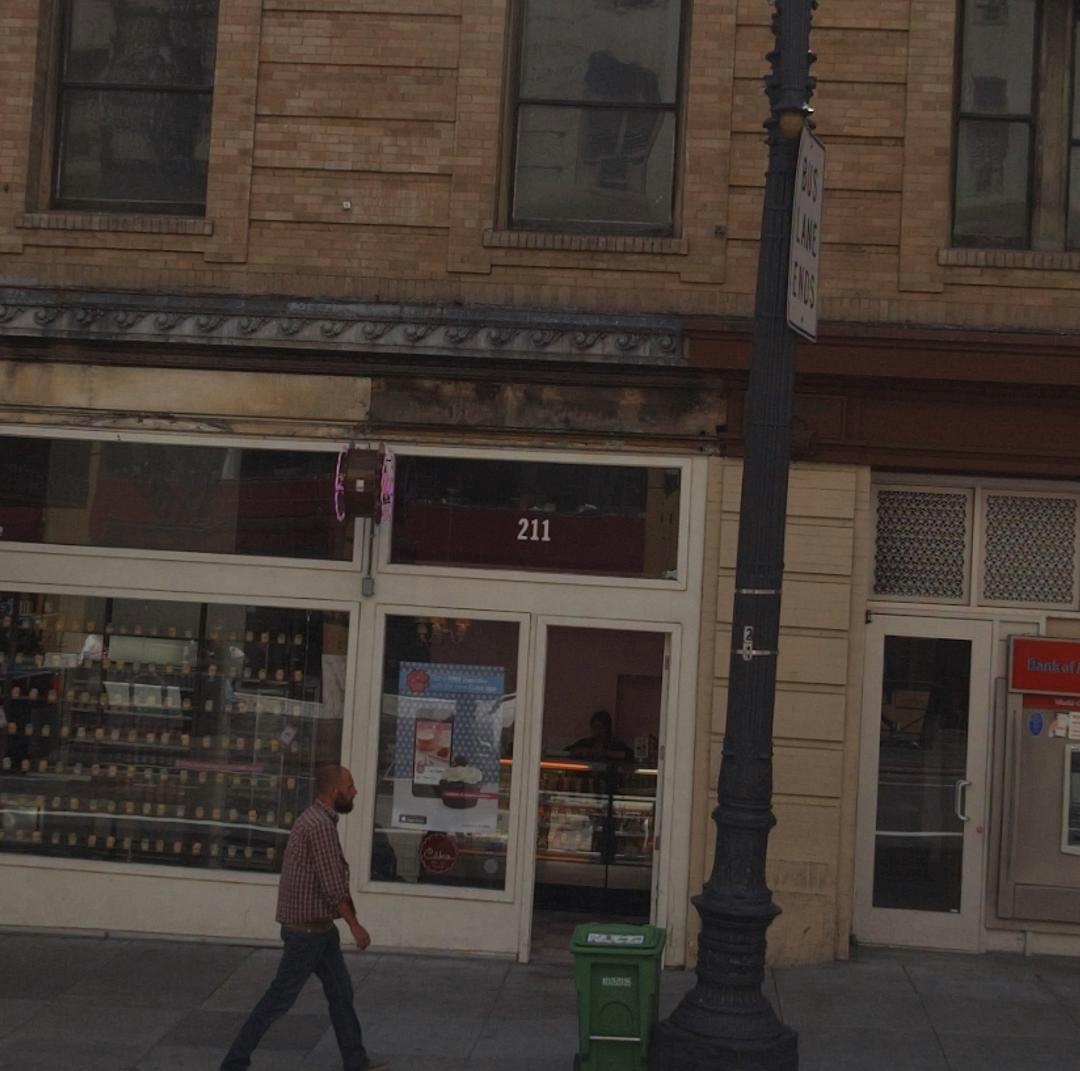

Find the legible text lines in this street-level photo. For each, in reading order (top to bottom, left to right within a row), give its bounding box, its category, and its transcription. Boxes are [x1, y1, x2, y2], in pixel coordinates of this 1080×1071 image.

[800, 154, 821, 206] None: BUS
[794, 204, 819, 260] None: LANE
[791, 259, 818, 312] None: ENDS
[515, 517, 552, 542] StreetNumber: 211
[744, 626, 753, 660] None: 2*
[1027, 657, 1077, 675] BusinessName: Bank of